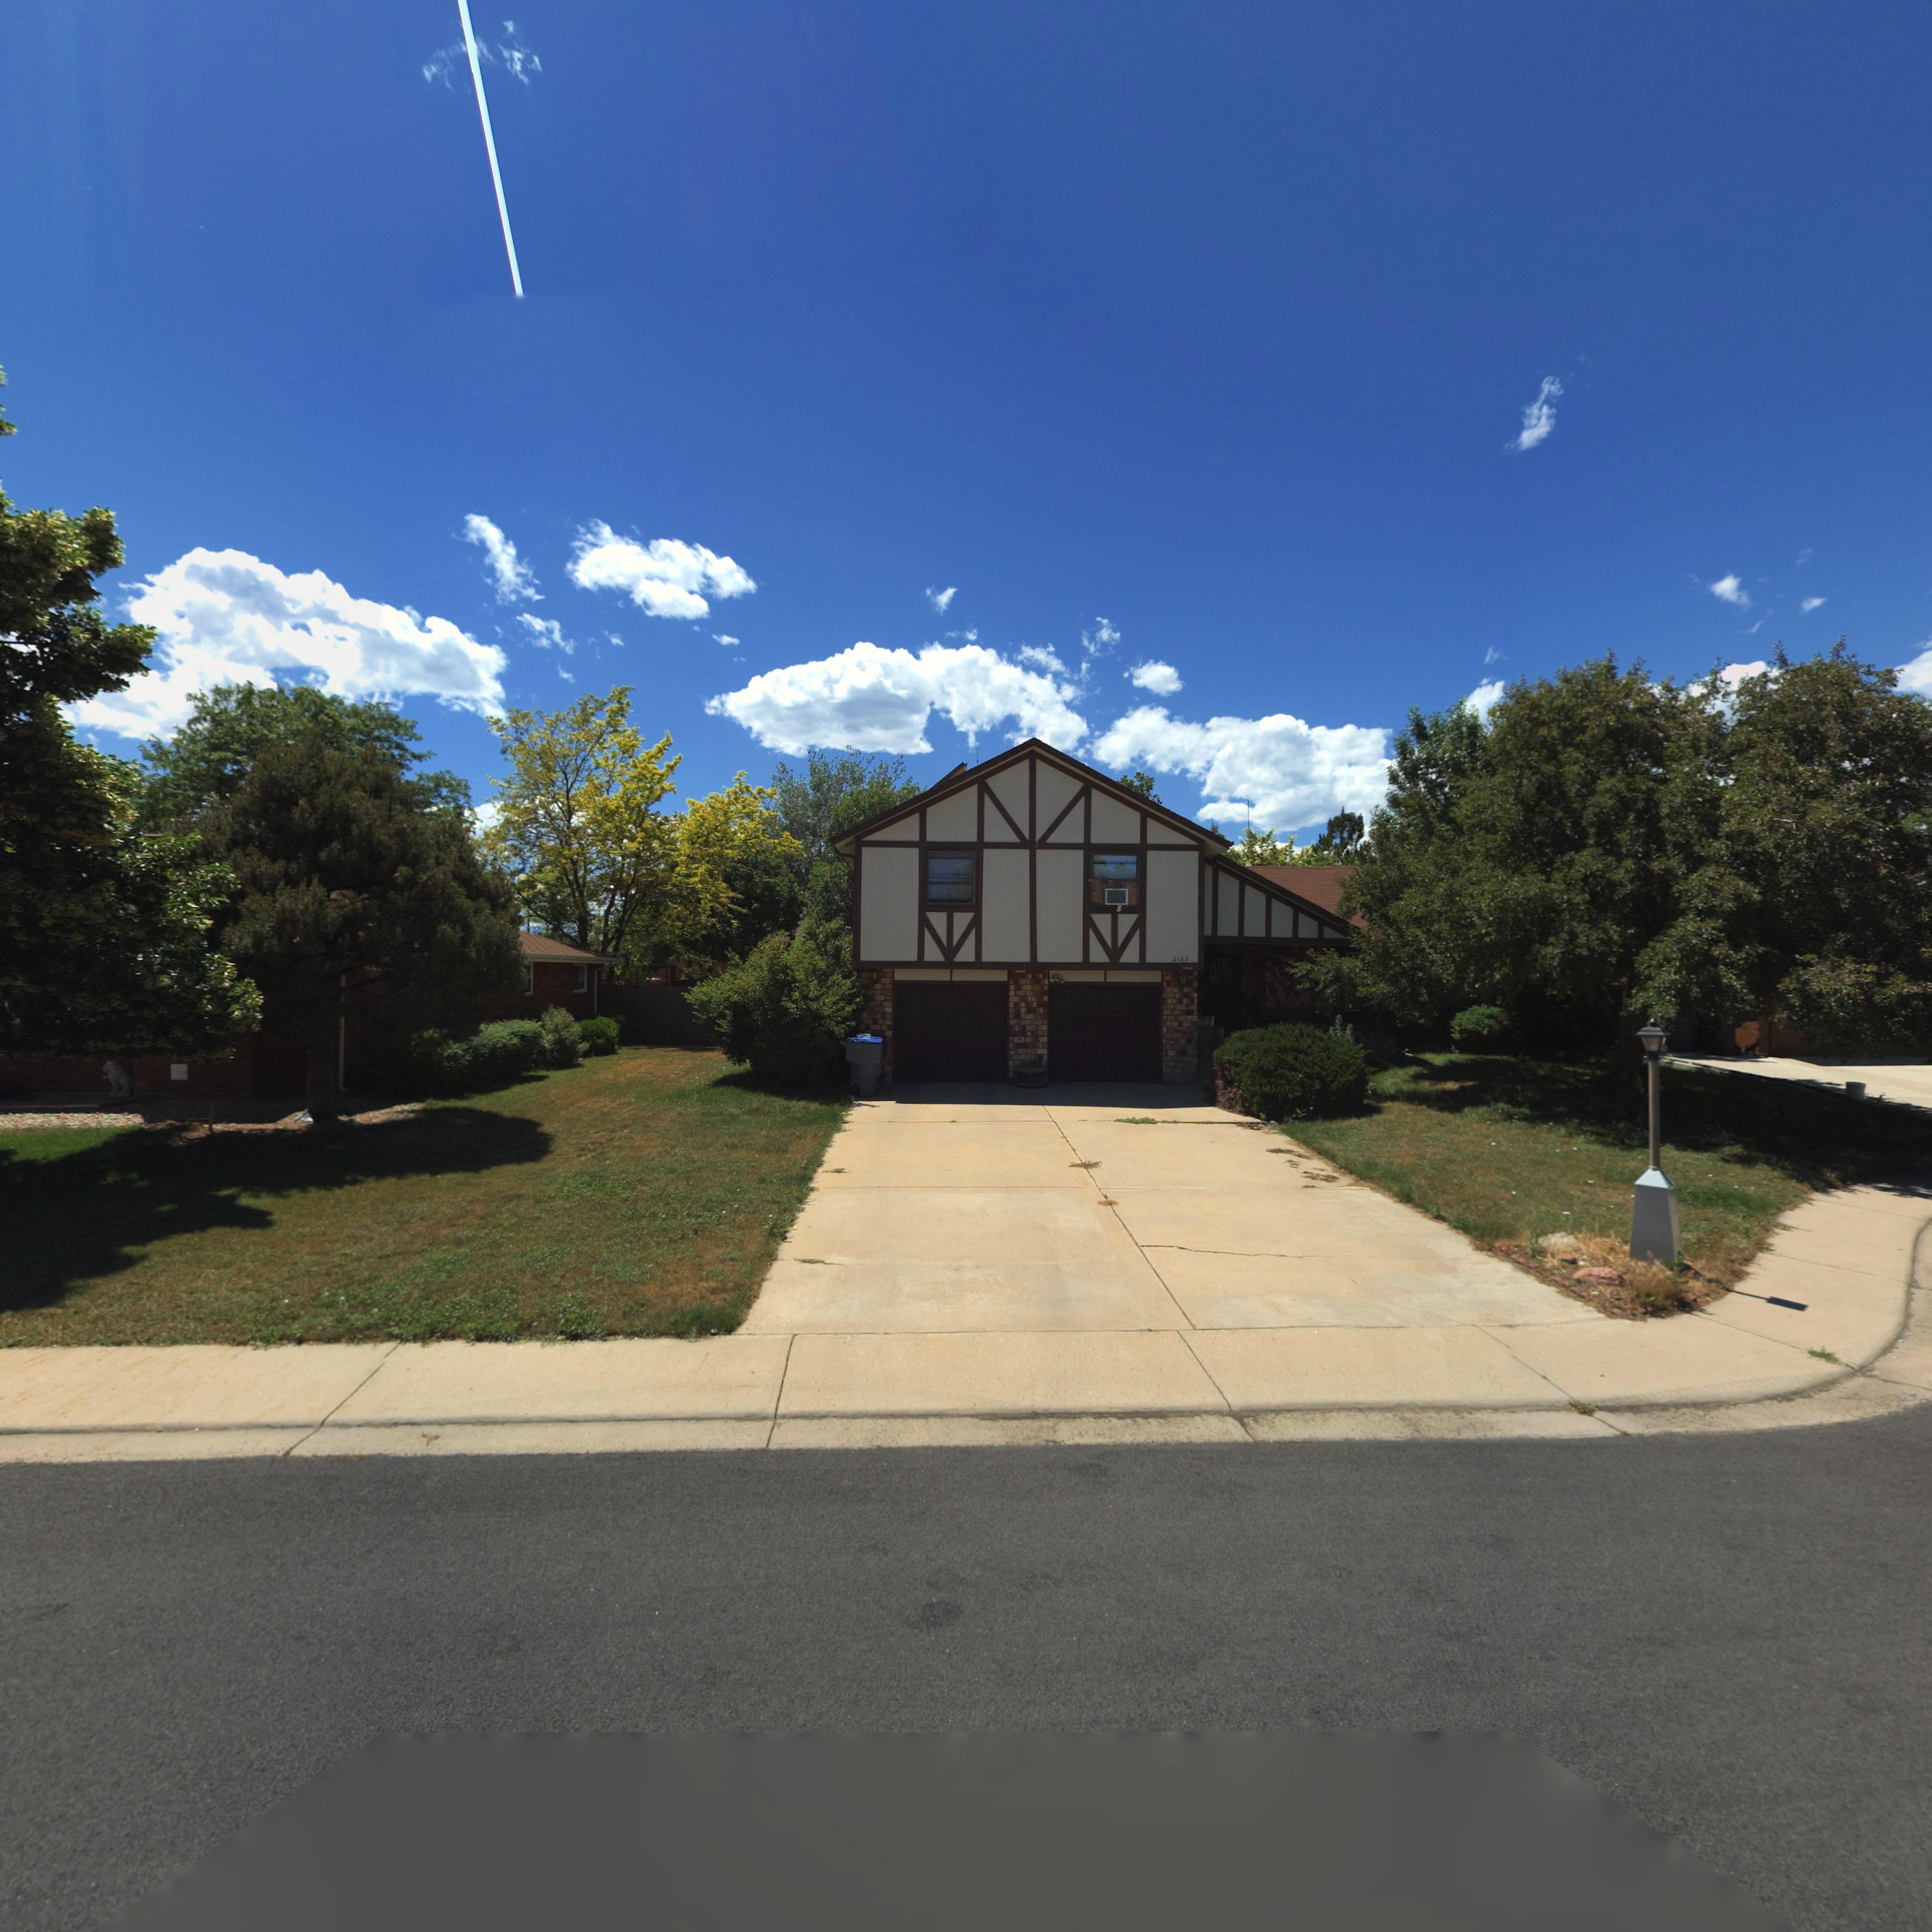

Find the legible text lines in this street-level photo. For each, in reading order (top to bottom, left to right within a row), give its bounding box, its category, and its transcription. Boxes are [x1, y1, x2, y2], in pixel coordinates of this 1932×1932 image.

[1172, 956, 1189, 962] StreetNumber: 2135